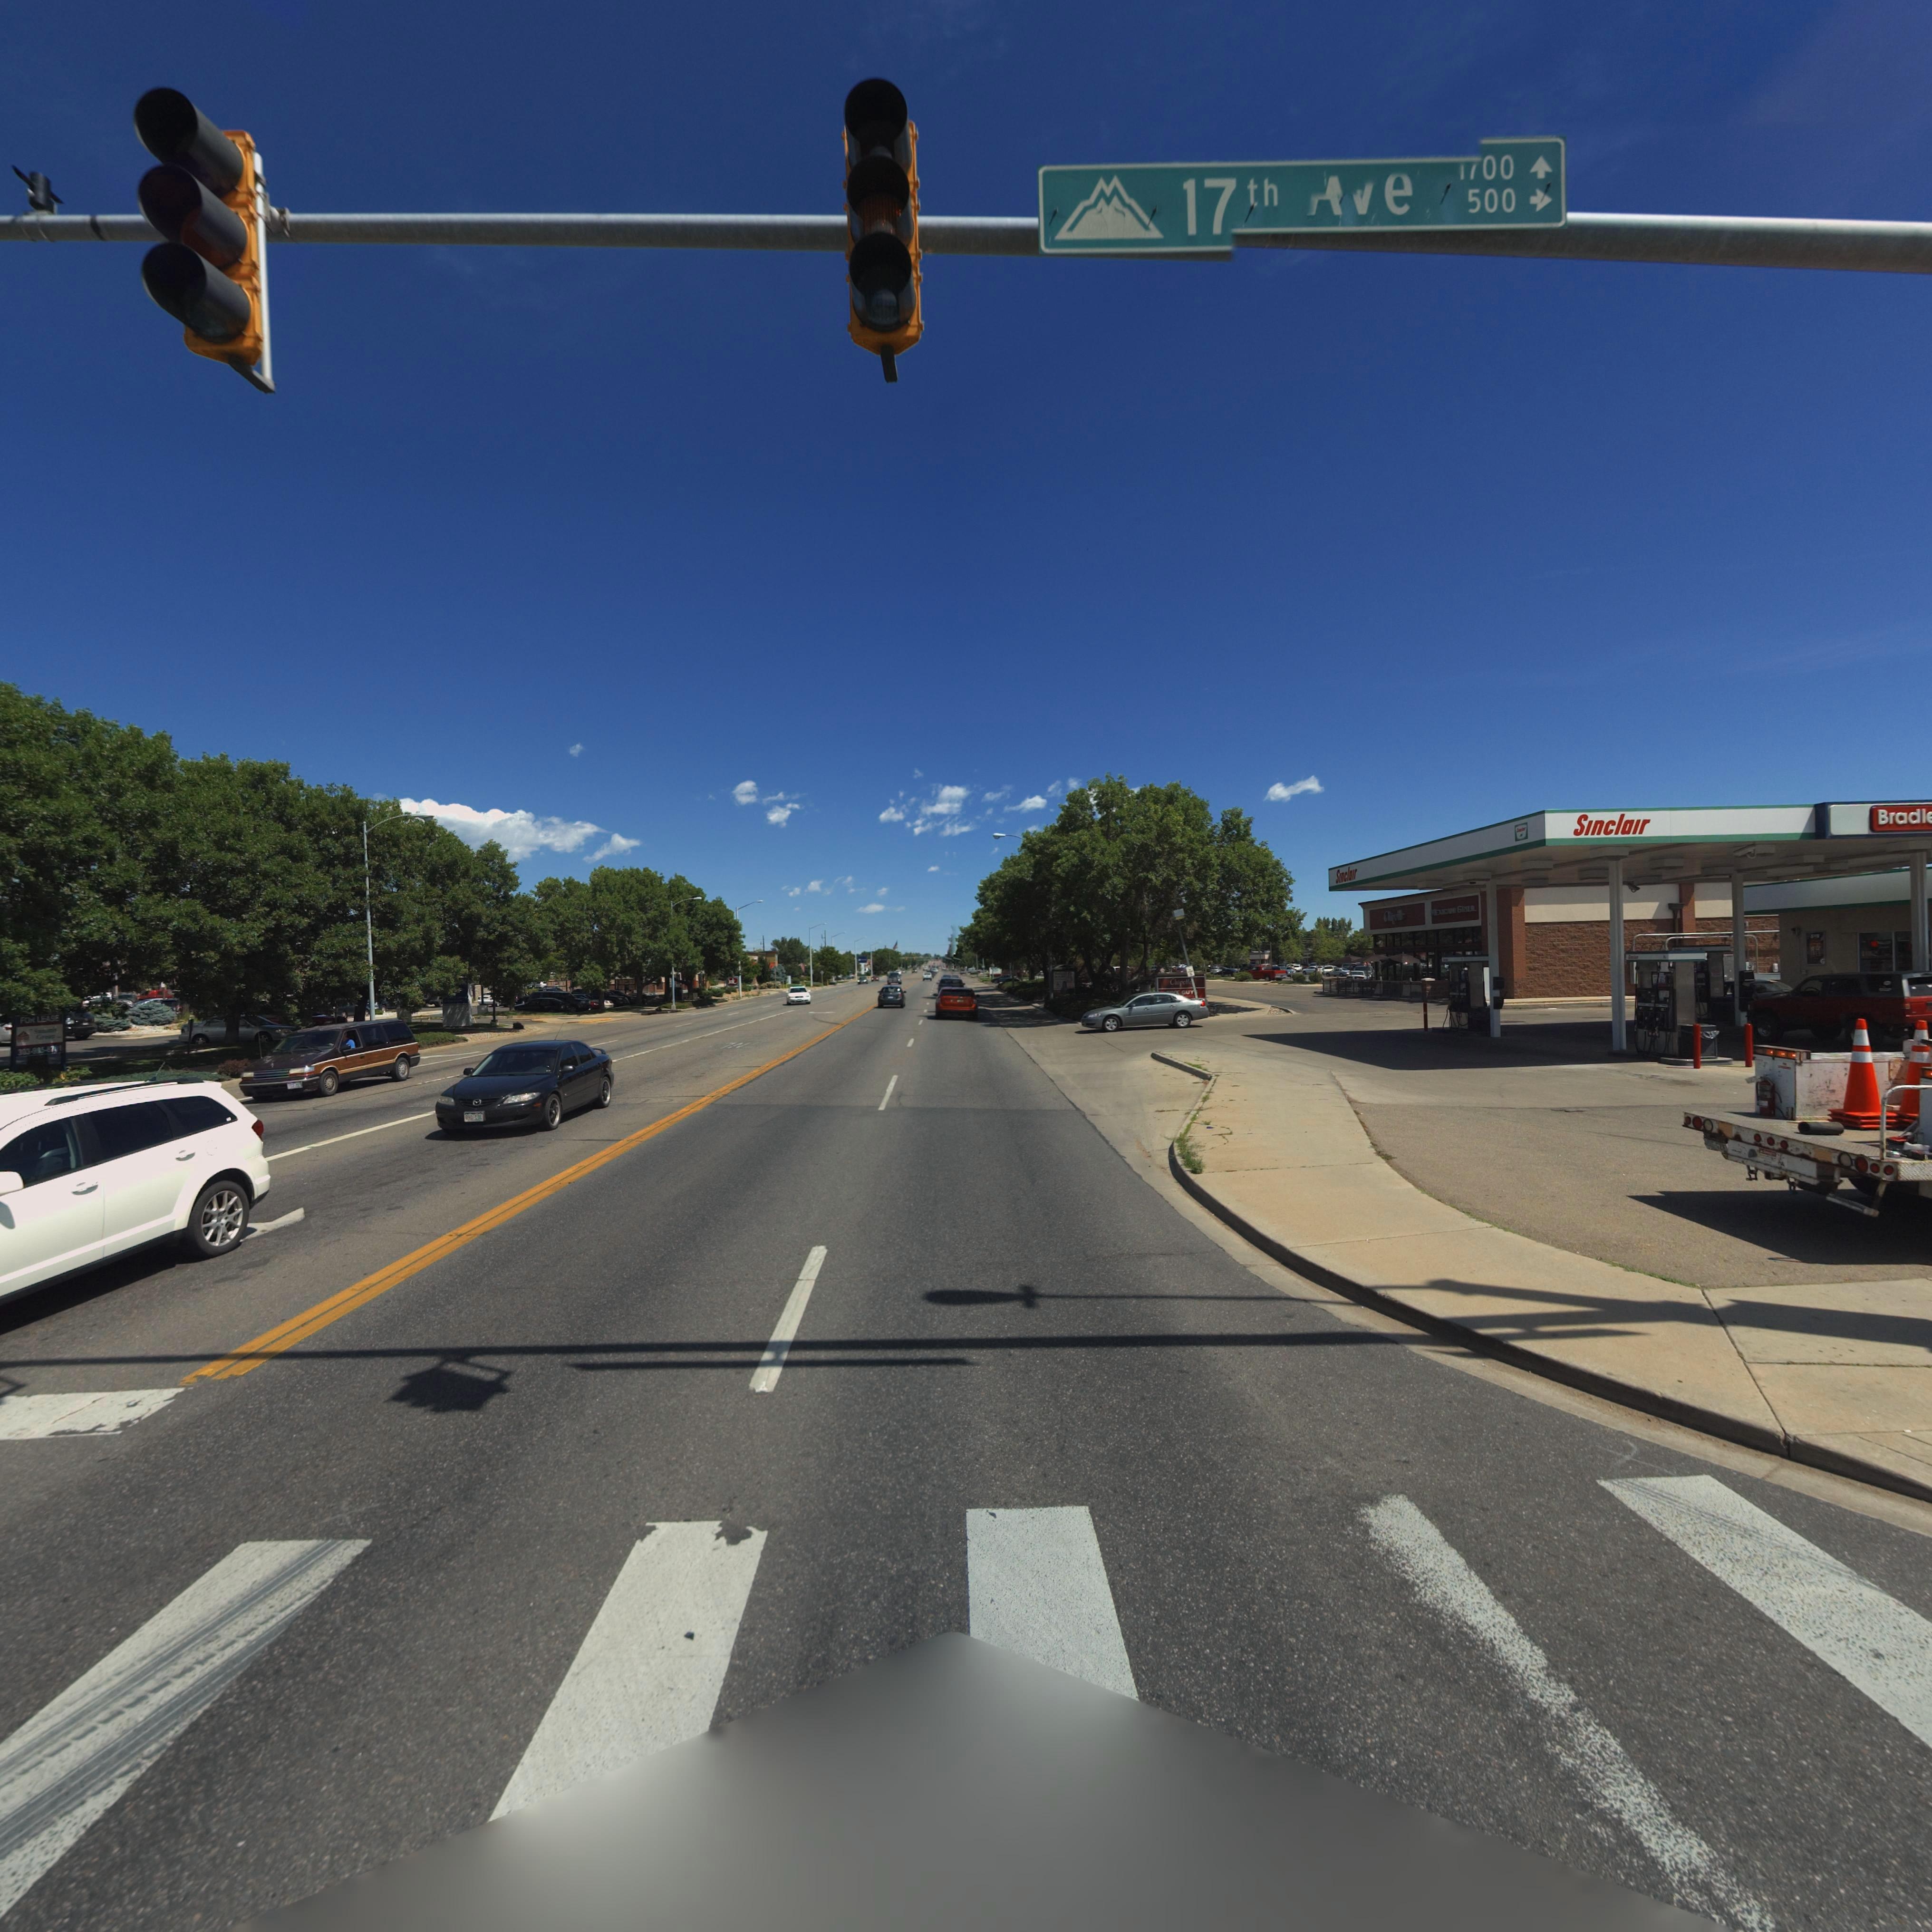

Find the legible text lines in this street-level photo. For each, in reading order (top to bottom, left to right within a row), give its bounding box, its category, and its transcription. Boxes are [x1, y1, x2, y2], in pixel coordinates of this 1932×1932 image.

[1458, 154, 1515, 181] StreetNumberRange: **00
[1180, 169, 1414, 237] StreetName: 17th **e
[1467, 187, 1554, 214] StreetNumberRange: 500->
[1516, 827, 1526, 832] BusinessName: S******r
[1573, 813, 1651, 836] BusinessName: SInclaIr
[1877, 808, 1926, 825] BusinessName: Bradl
[1335, 866, 1357, 884] None: SInclaIr
[1382, 909, 1405, 924] BusinessName: C***o***
[1431, 905, 1477, 916] BusinessName: *E**C** G**LL
[728, 977, 737, 984] BusinessName: ***k
[1169, 977, 1192, 987] BusinessName: Chipotl*
[1172, 990, 1198, 995] BusinessName: ** GUY*